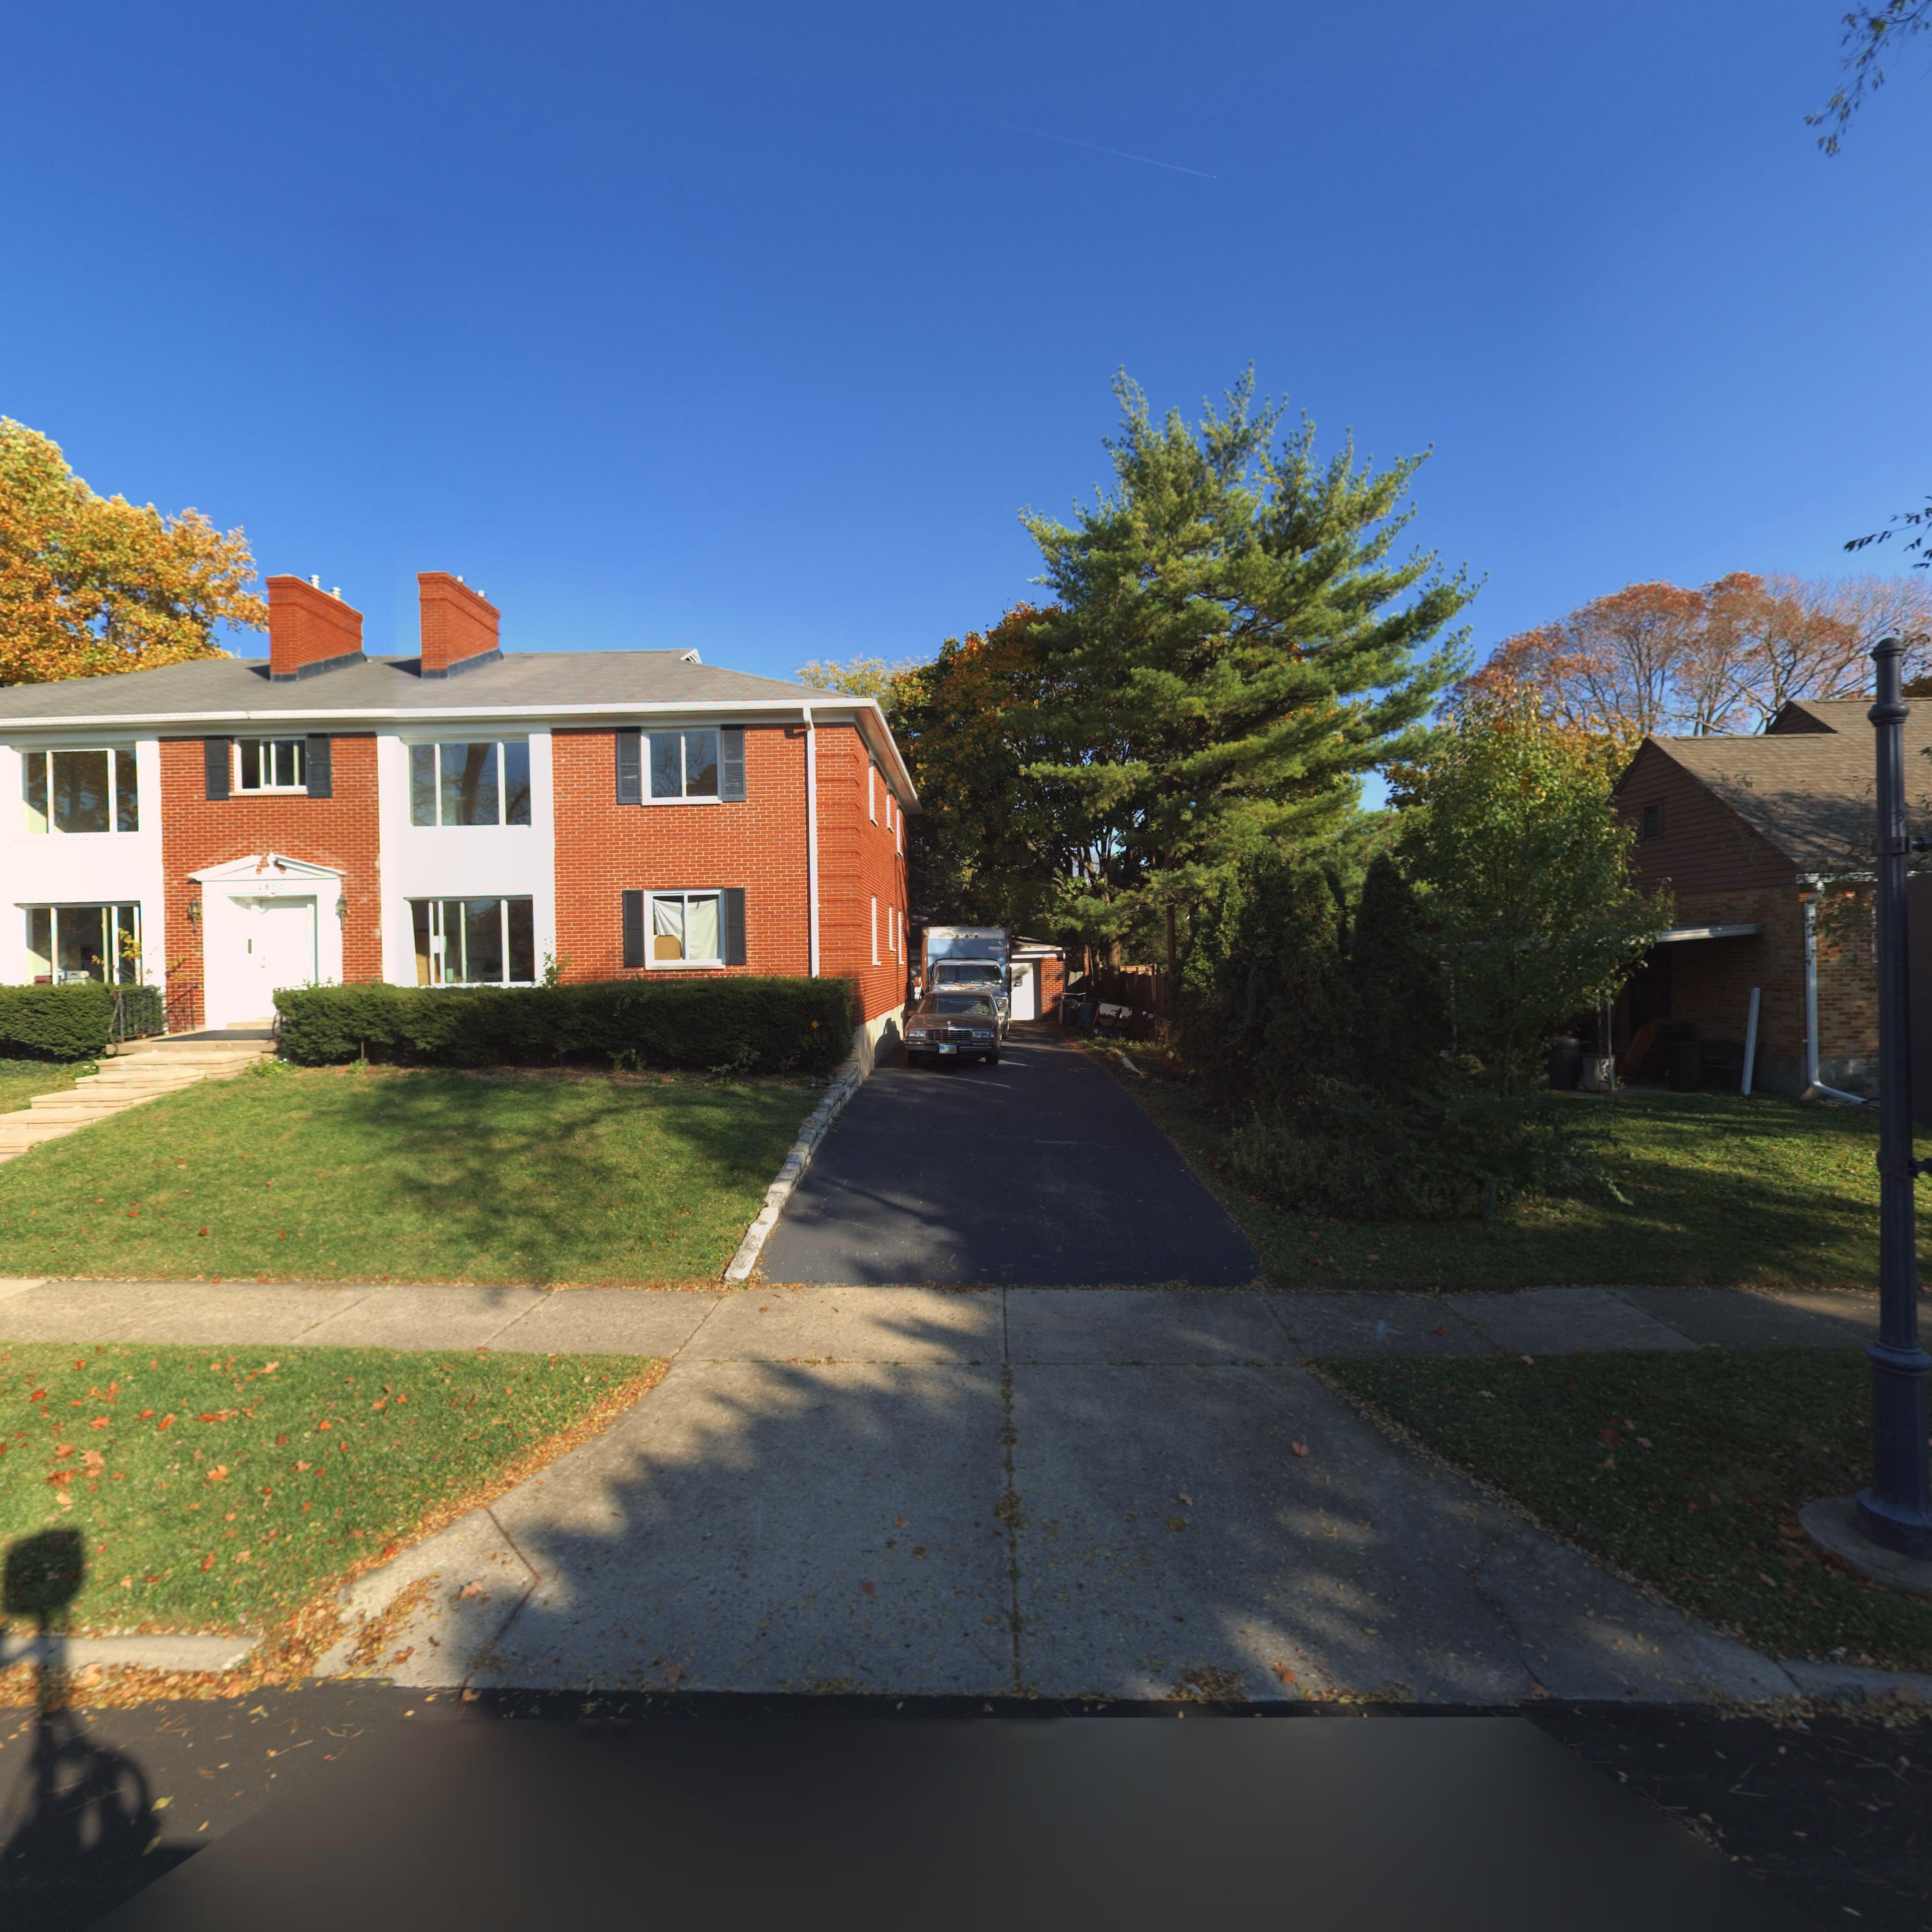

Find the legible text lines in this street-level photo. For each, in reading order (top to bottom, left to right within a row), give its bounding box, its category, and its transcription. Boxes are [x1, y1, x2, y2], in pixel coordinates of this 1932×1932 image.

[257, 883, 286, 891] StreetNumber: *8*0